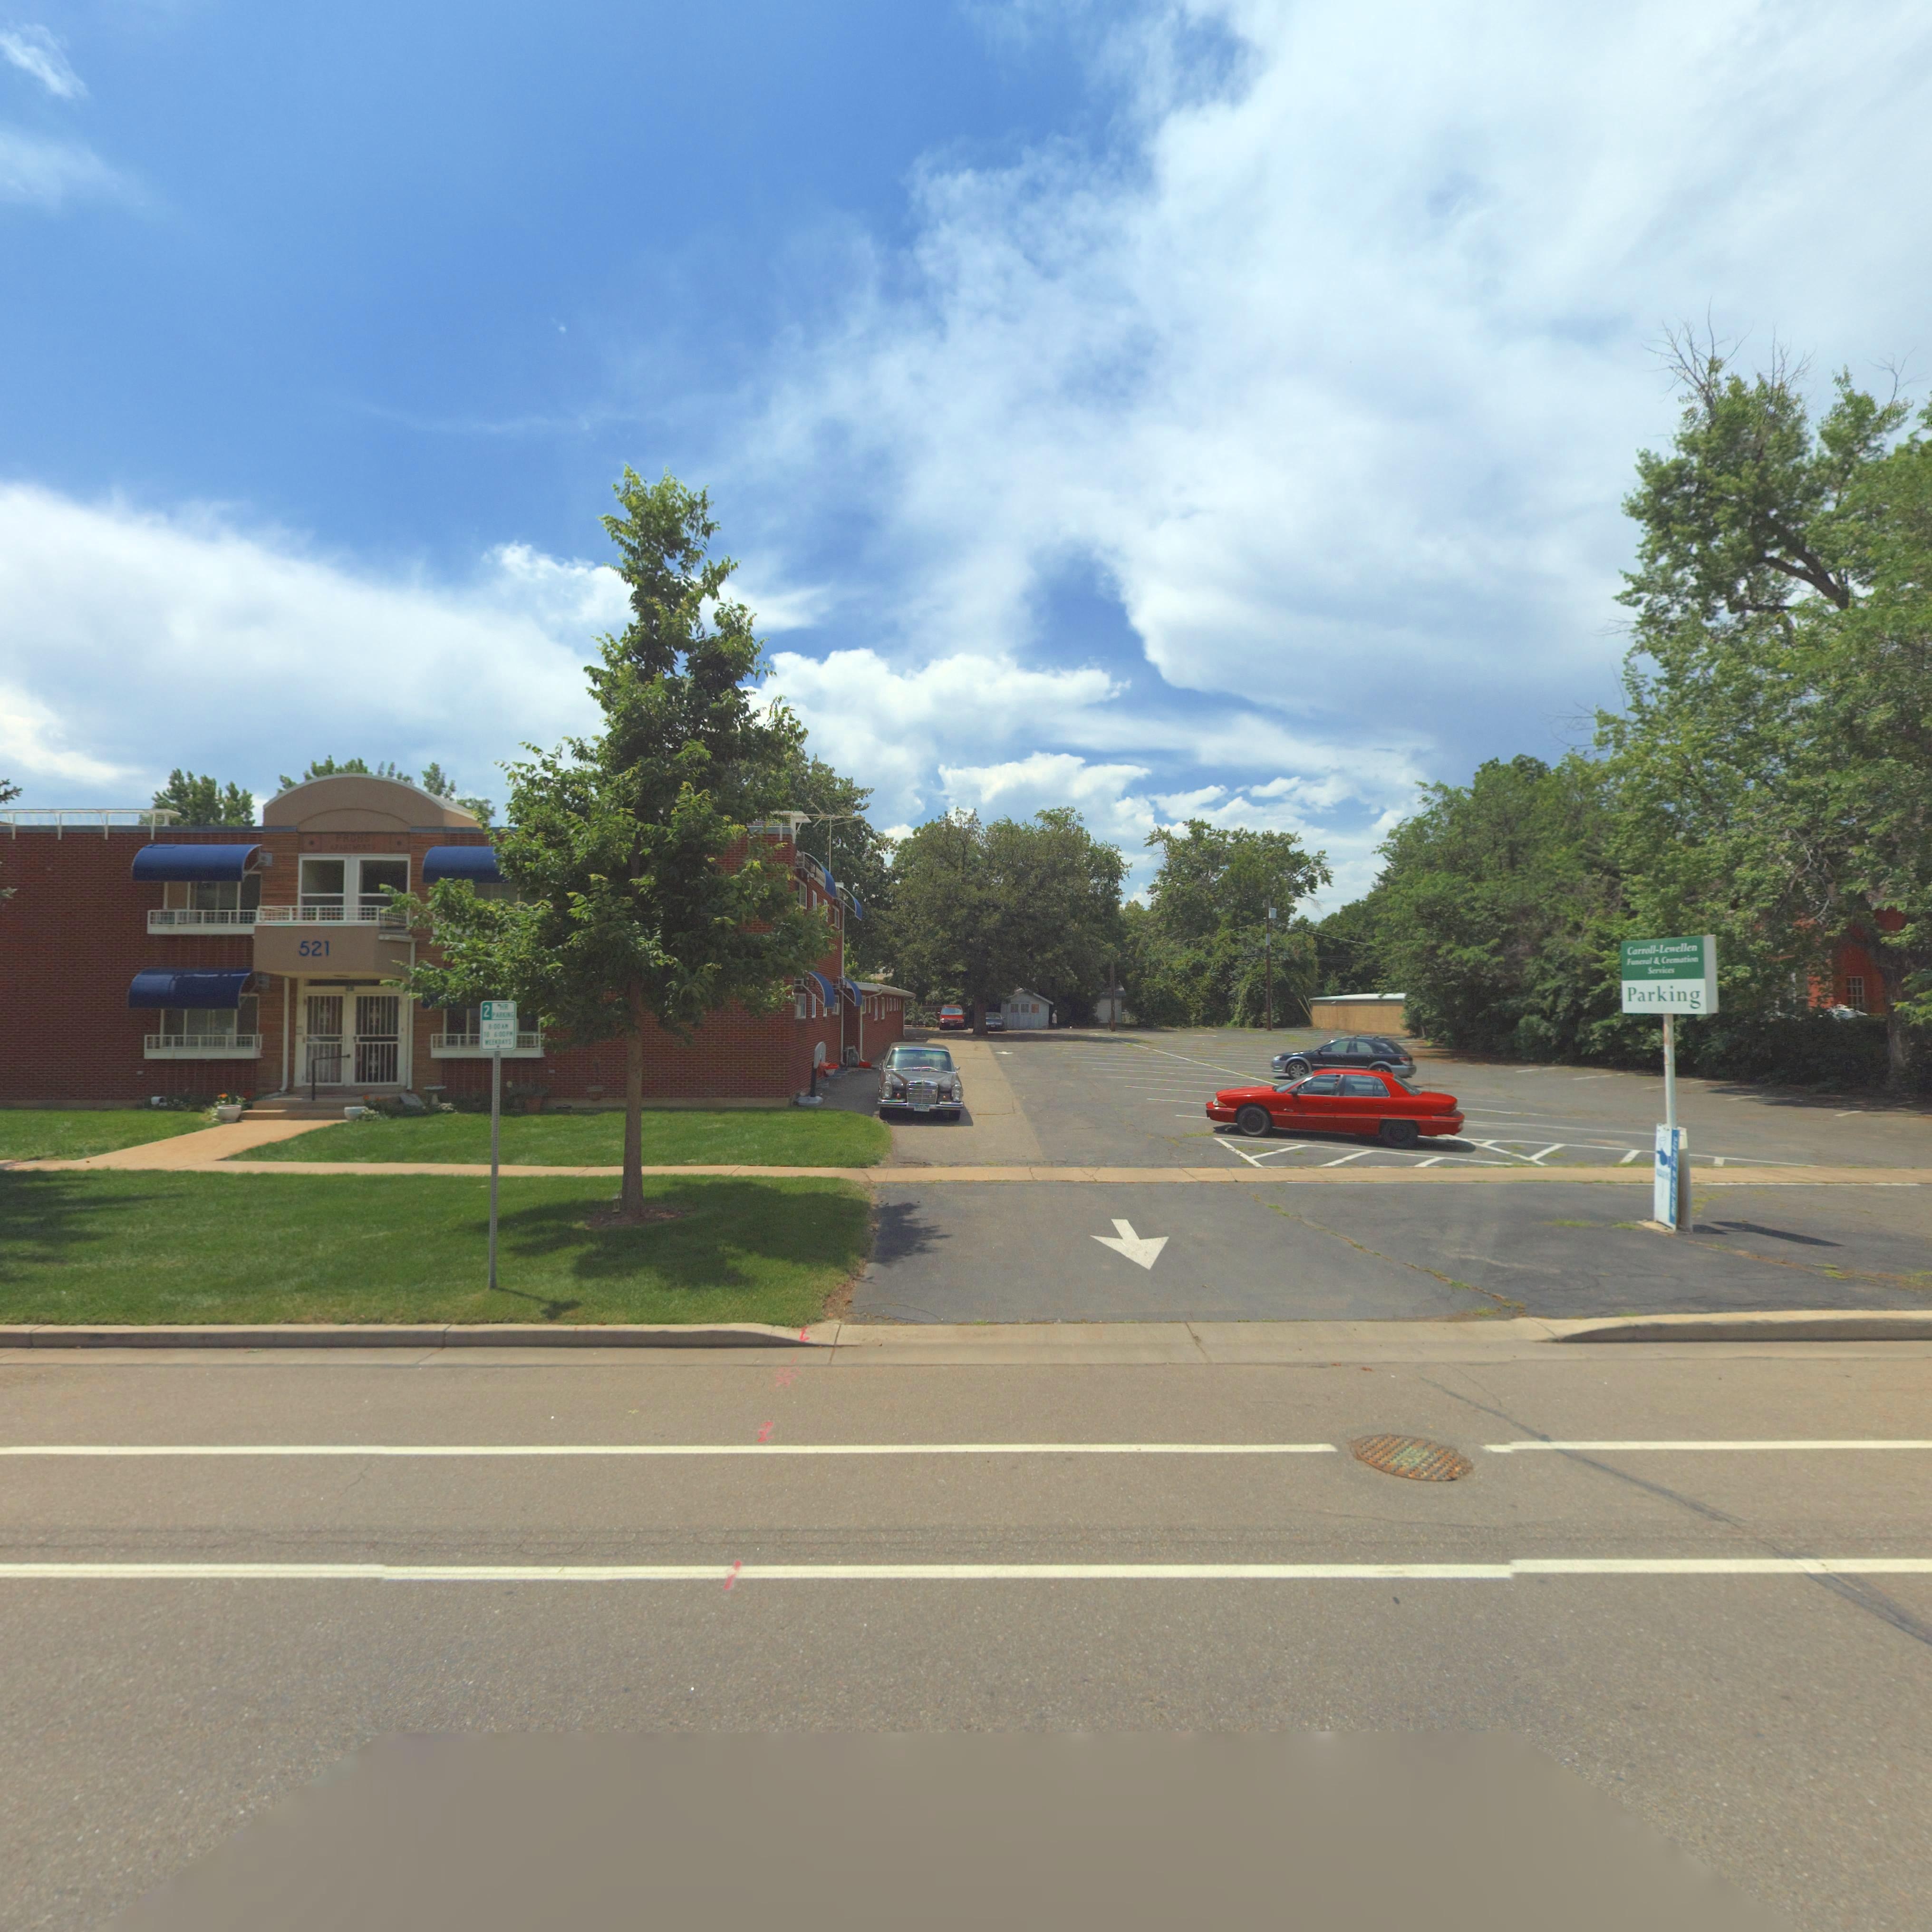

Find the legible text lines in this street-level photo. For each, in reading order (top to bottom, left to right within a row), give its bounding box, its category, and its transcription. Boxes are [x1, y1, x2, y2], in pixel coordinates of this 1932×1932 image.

[298, 940, 329, 956] StreetNumber: 521